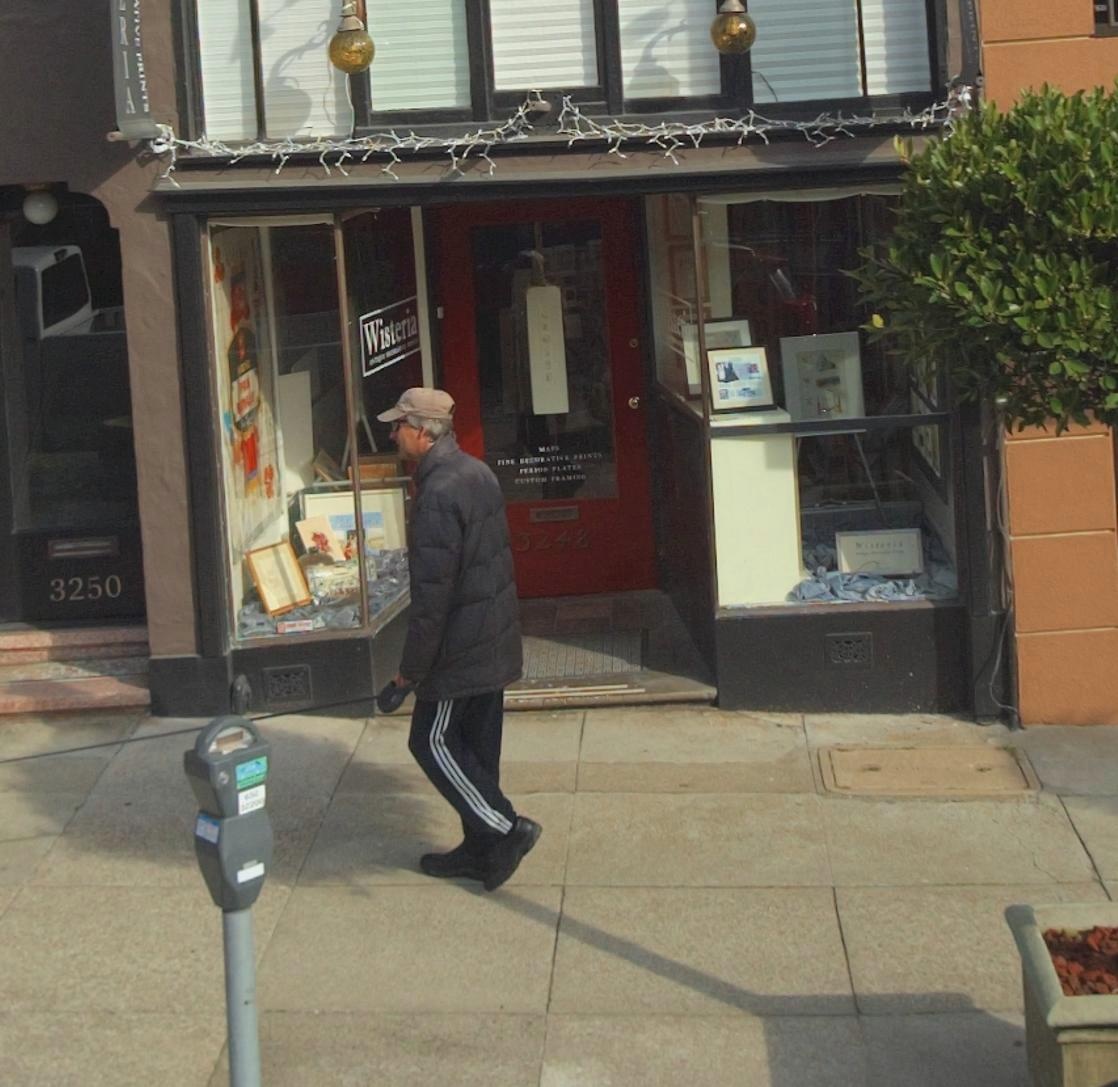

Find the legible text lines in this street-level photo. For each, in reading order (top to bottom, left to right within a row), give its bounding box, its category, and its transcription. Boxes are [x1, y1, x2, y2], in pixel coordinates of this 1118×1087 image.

[115, 12, 139, 118] BusinessName: RIA
[132, 49, 153, 116] None: PRINTS
[359, 305, 420, 359] BusinessName: Wisteria
[513, 527, 591, 554] StreetNumber: 3248
[46, 572, 124, 605] StreetNumber: 3250